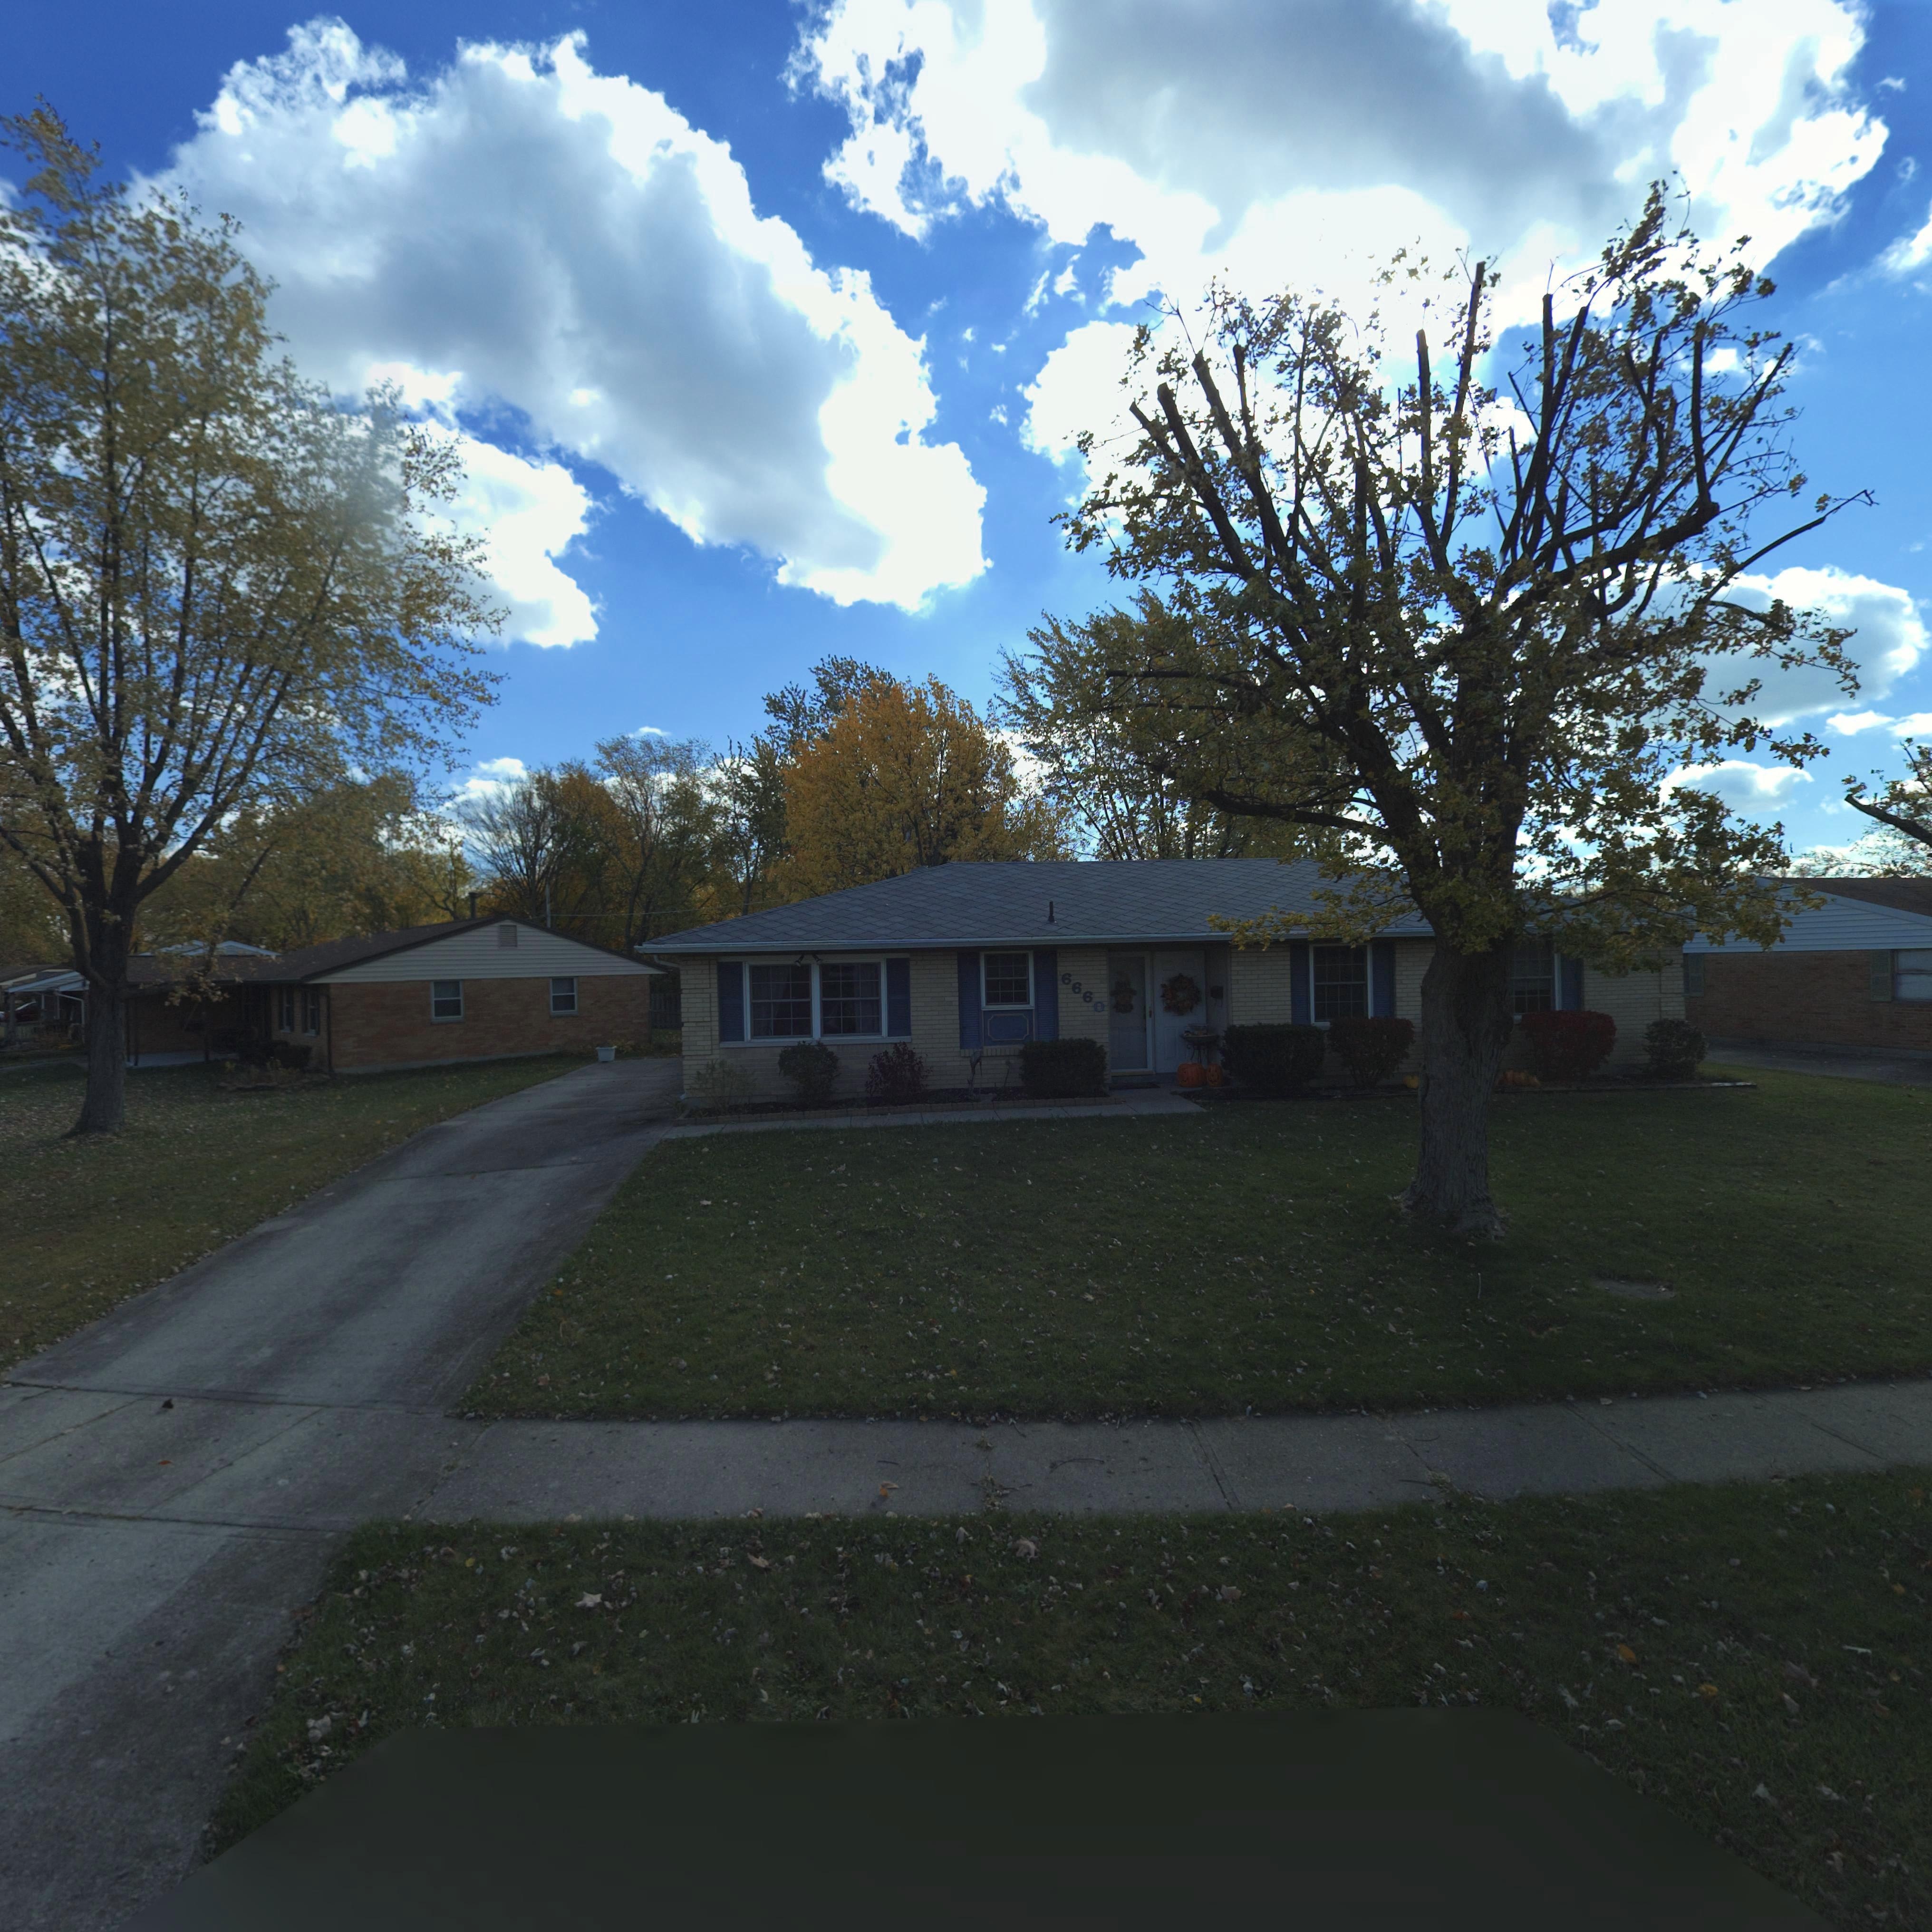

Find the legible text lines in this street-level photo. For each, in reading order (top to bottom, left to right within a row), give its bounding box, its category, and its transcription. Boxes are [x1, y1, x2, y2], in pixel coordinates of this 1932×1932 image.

[1061, 971, 1106, 1014] StreetNumber: 6660